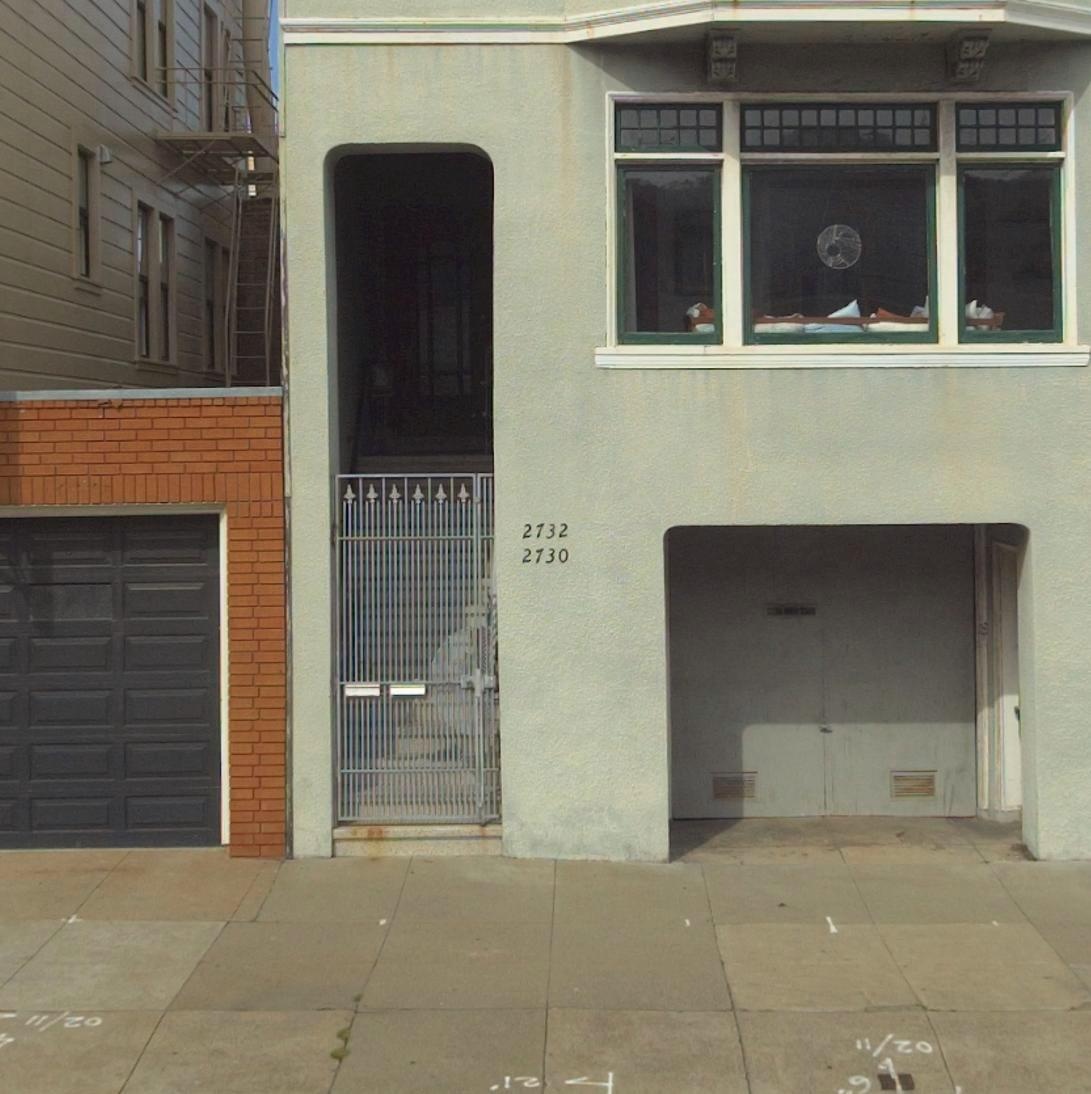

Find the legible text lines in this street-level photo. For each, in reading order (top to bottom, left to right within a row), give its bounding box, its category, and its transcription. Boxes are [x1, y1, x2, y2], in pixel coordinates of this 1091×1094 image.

[522, 522, 568, 540] StreetNumber: 2732
[521, 547, 569, 564] StreetNumber: 2730